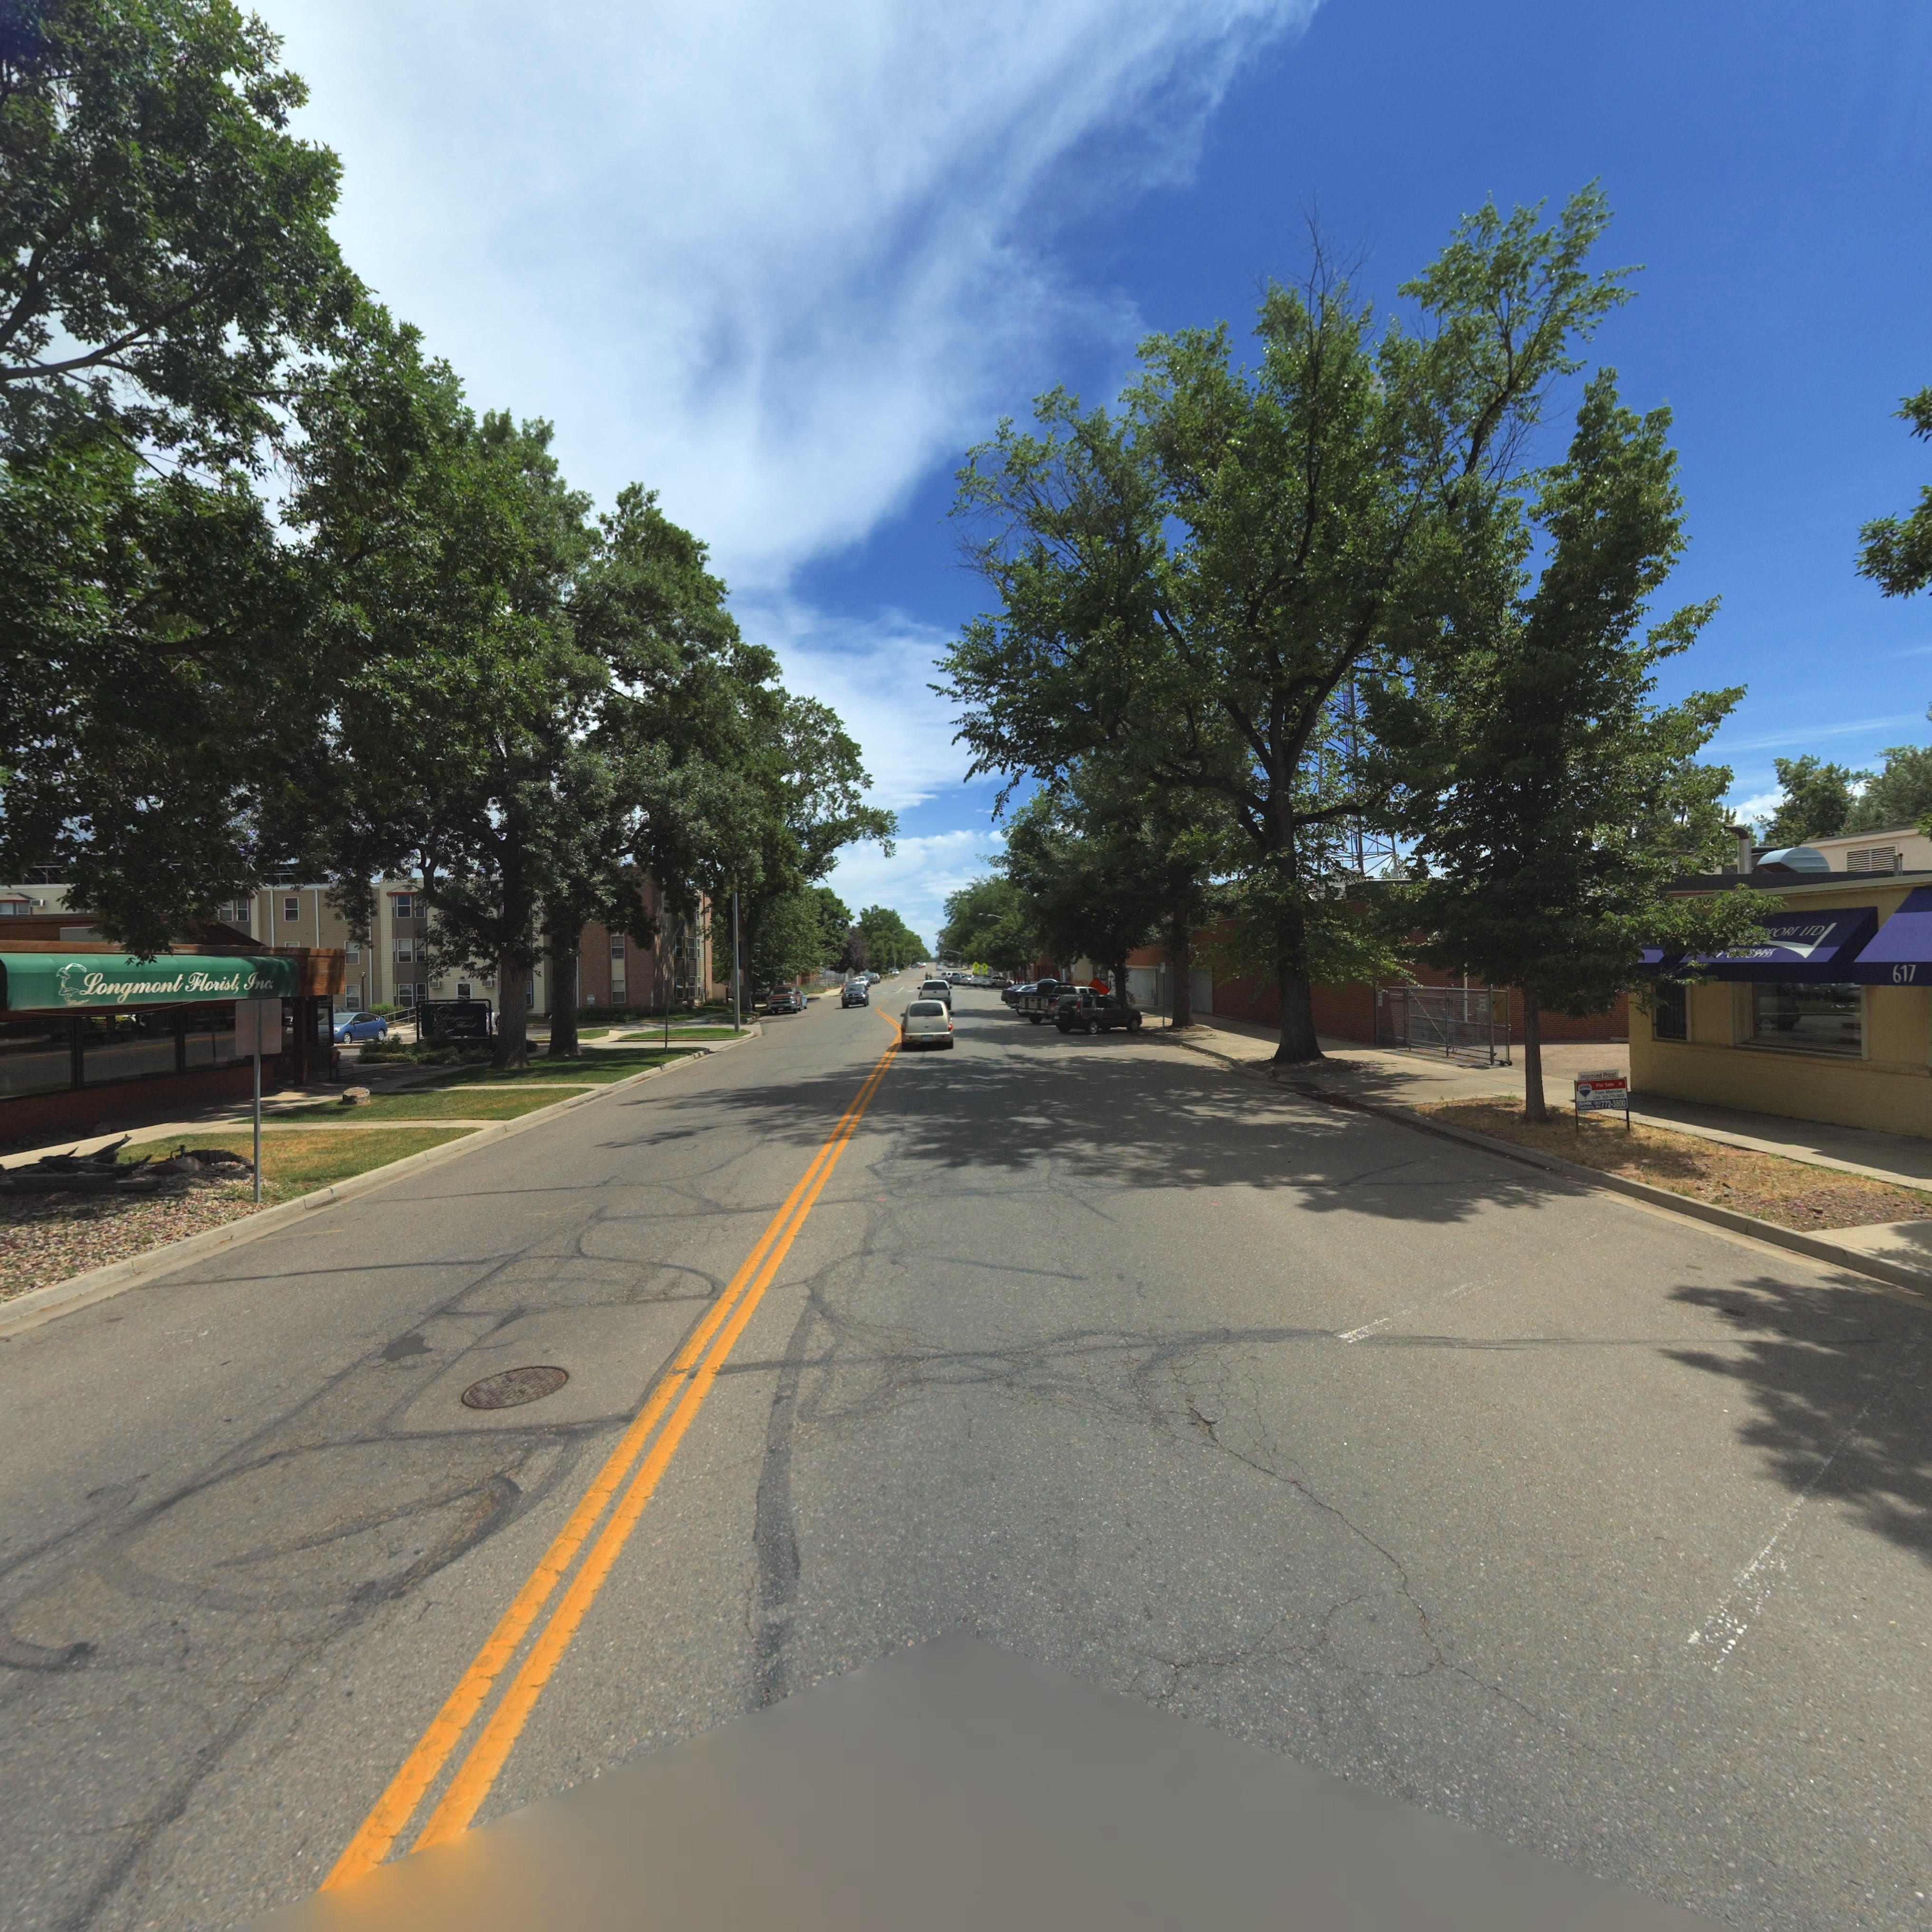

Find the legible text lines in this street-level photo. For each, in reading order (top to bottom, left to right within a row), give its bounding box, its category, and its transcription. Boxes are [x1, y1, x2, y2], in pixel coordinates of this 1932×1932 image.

[1759, 925, 1826, 937] BusinessName: *PORT LTD
[1892, 964, 1917, 983] StreetNumber:  617
[78, 970, 275, 1005] BusinessName: Longmont Florist, Inc.
[438, 1013, 474, 1024] BusinessName: Long**nt
[453, 1020, 477, 1029] BusinessName: Florist